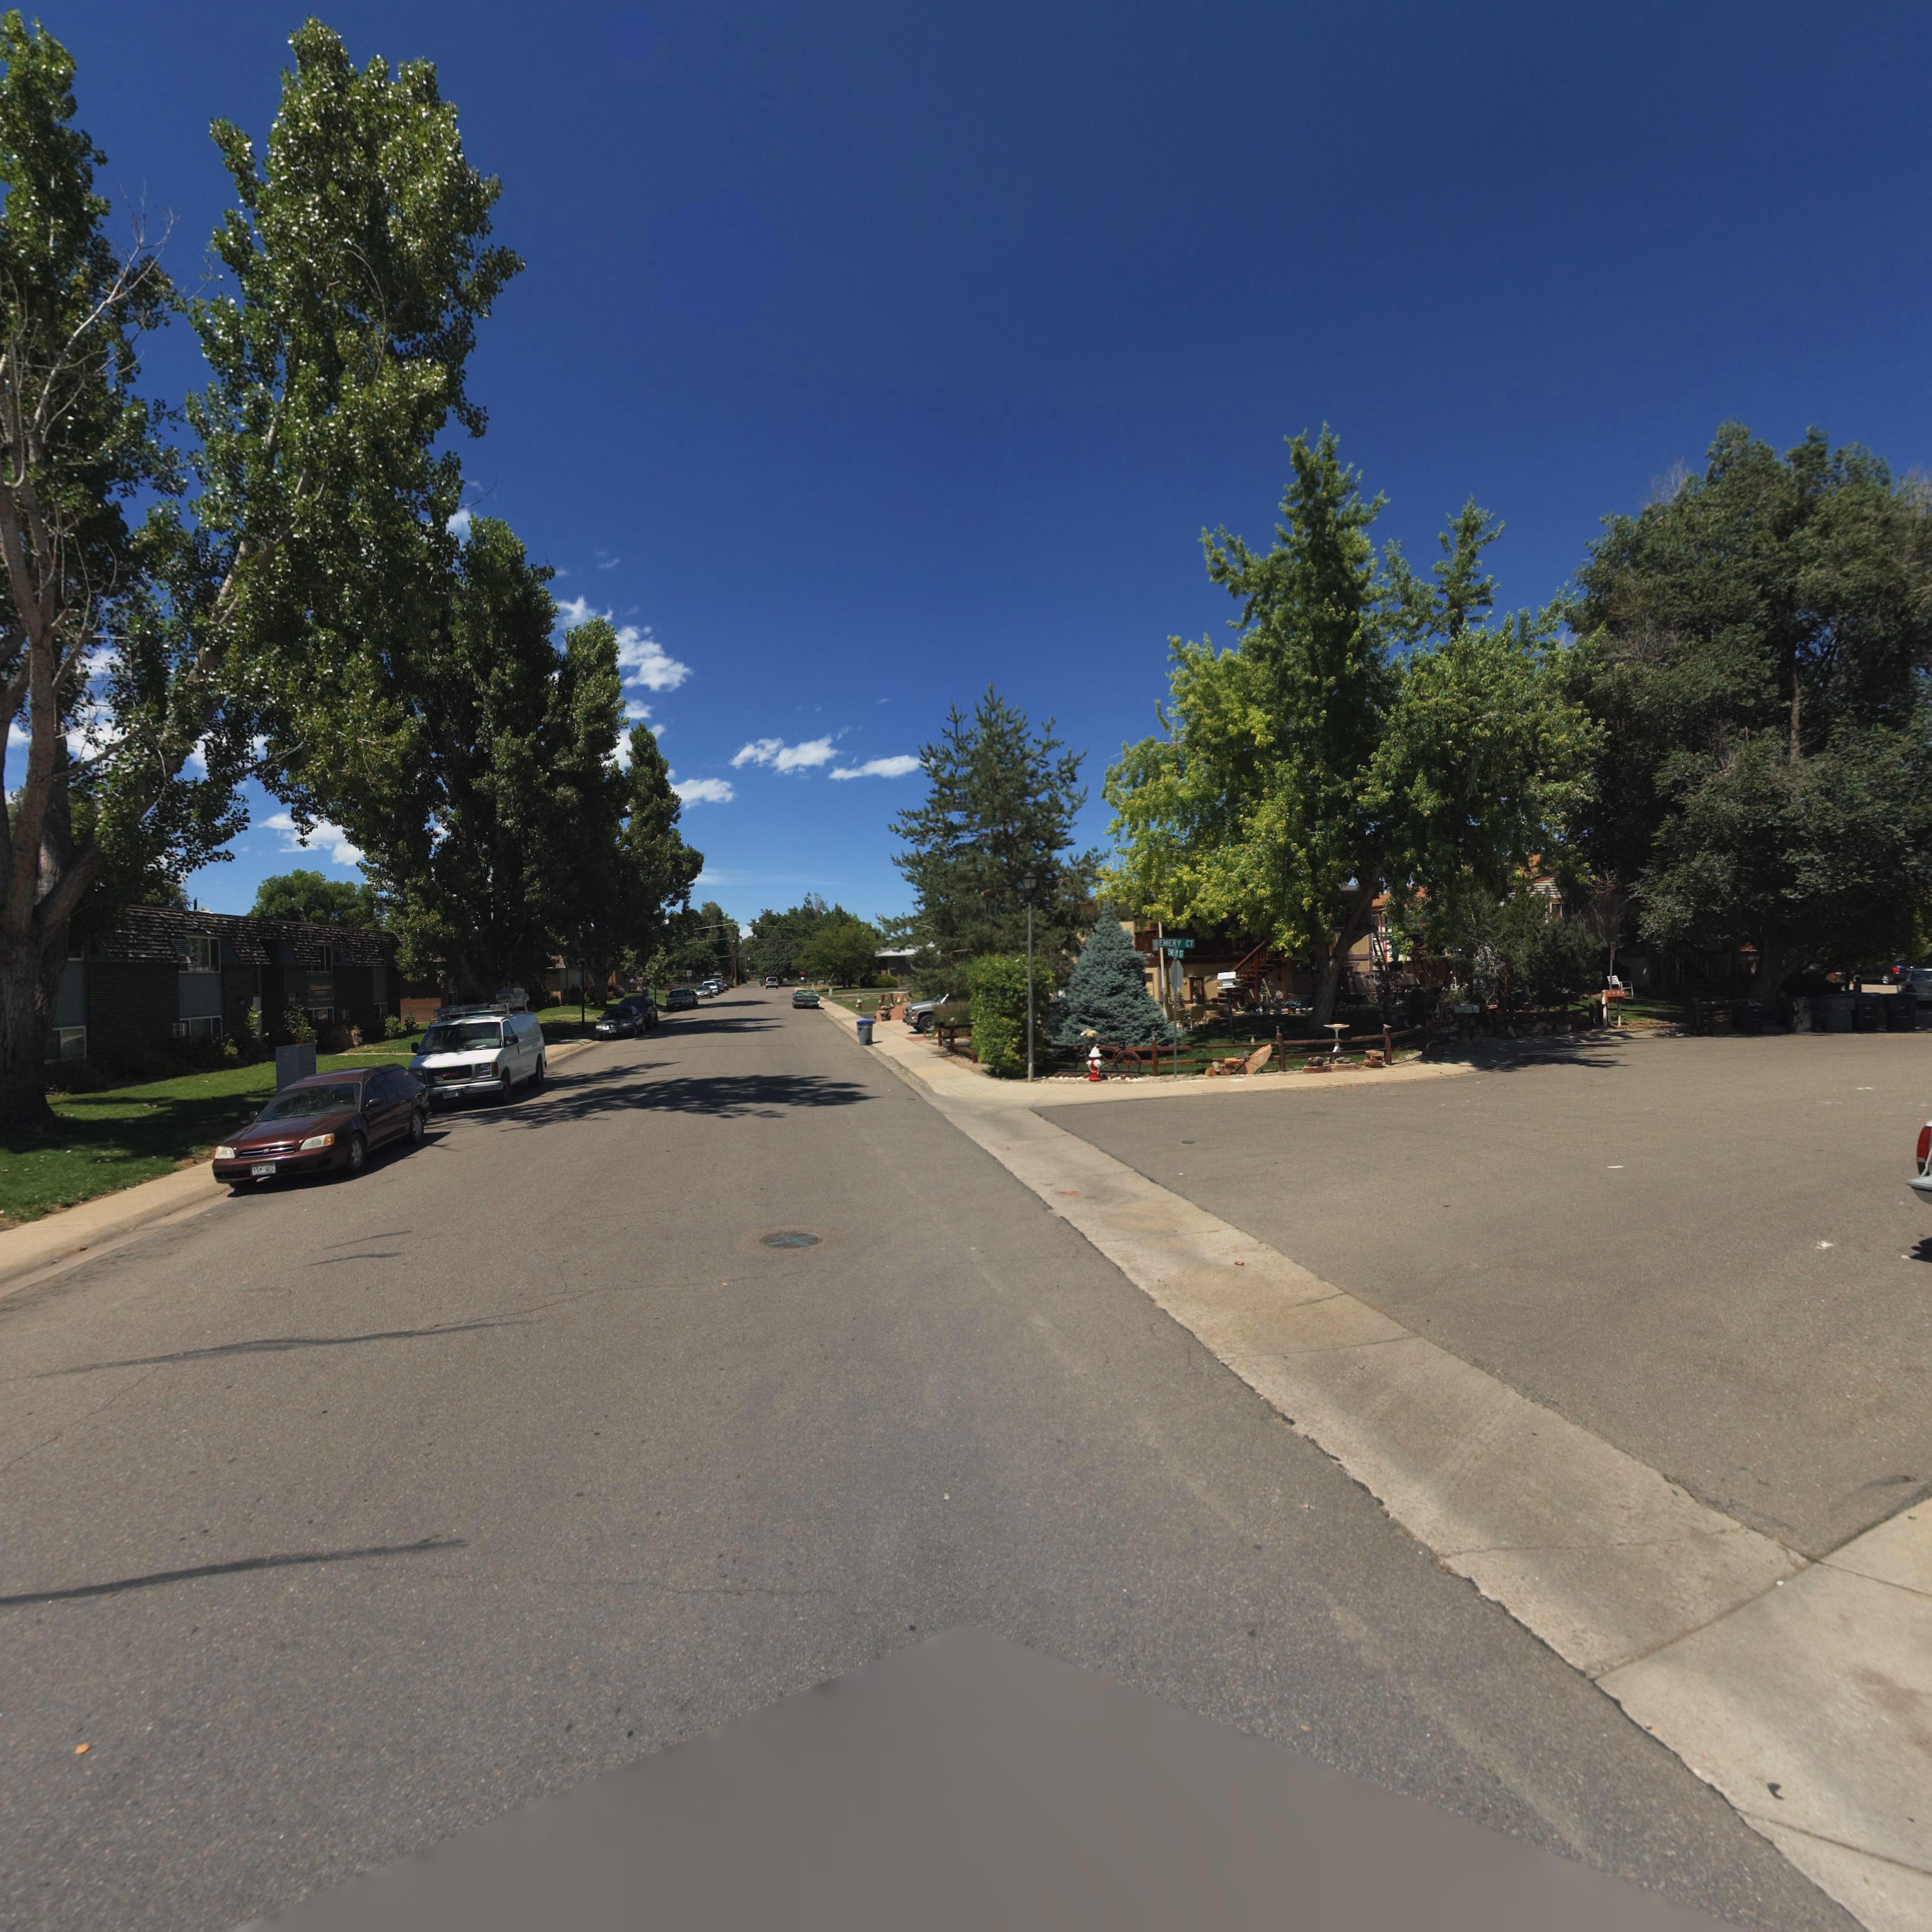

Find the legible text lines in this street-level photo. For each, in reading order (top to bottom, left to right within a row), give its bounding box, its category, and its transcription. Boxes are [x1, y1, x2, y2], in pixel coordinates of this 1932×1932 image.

[1158, 938, 1194, 947] StreetName: EMERY CT
[1167, 947, 1183, 958] StreetName: EMERY ST
[309, 983, 331, 991] BusinessName: Cottonwood
[314, 990, 327, 995] BusinessName: COURT